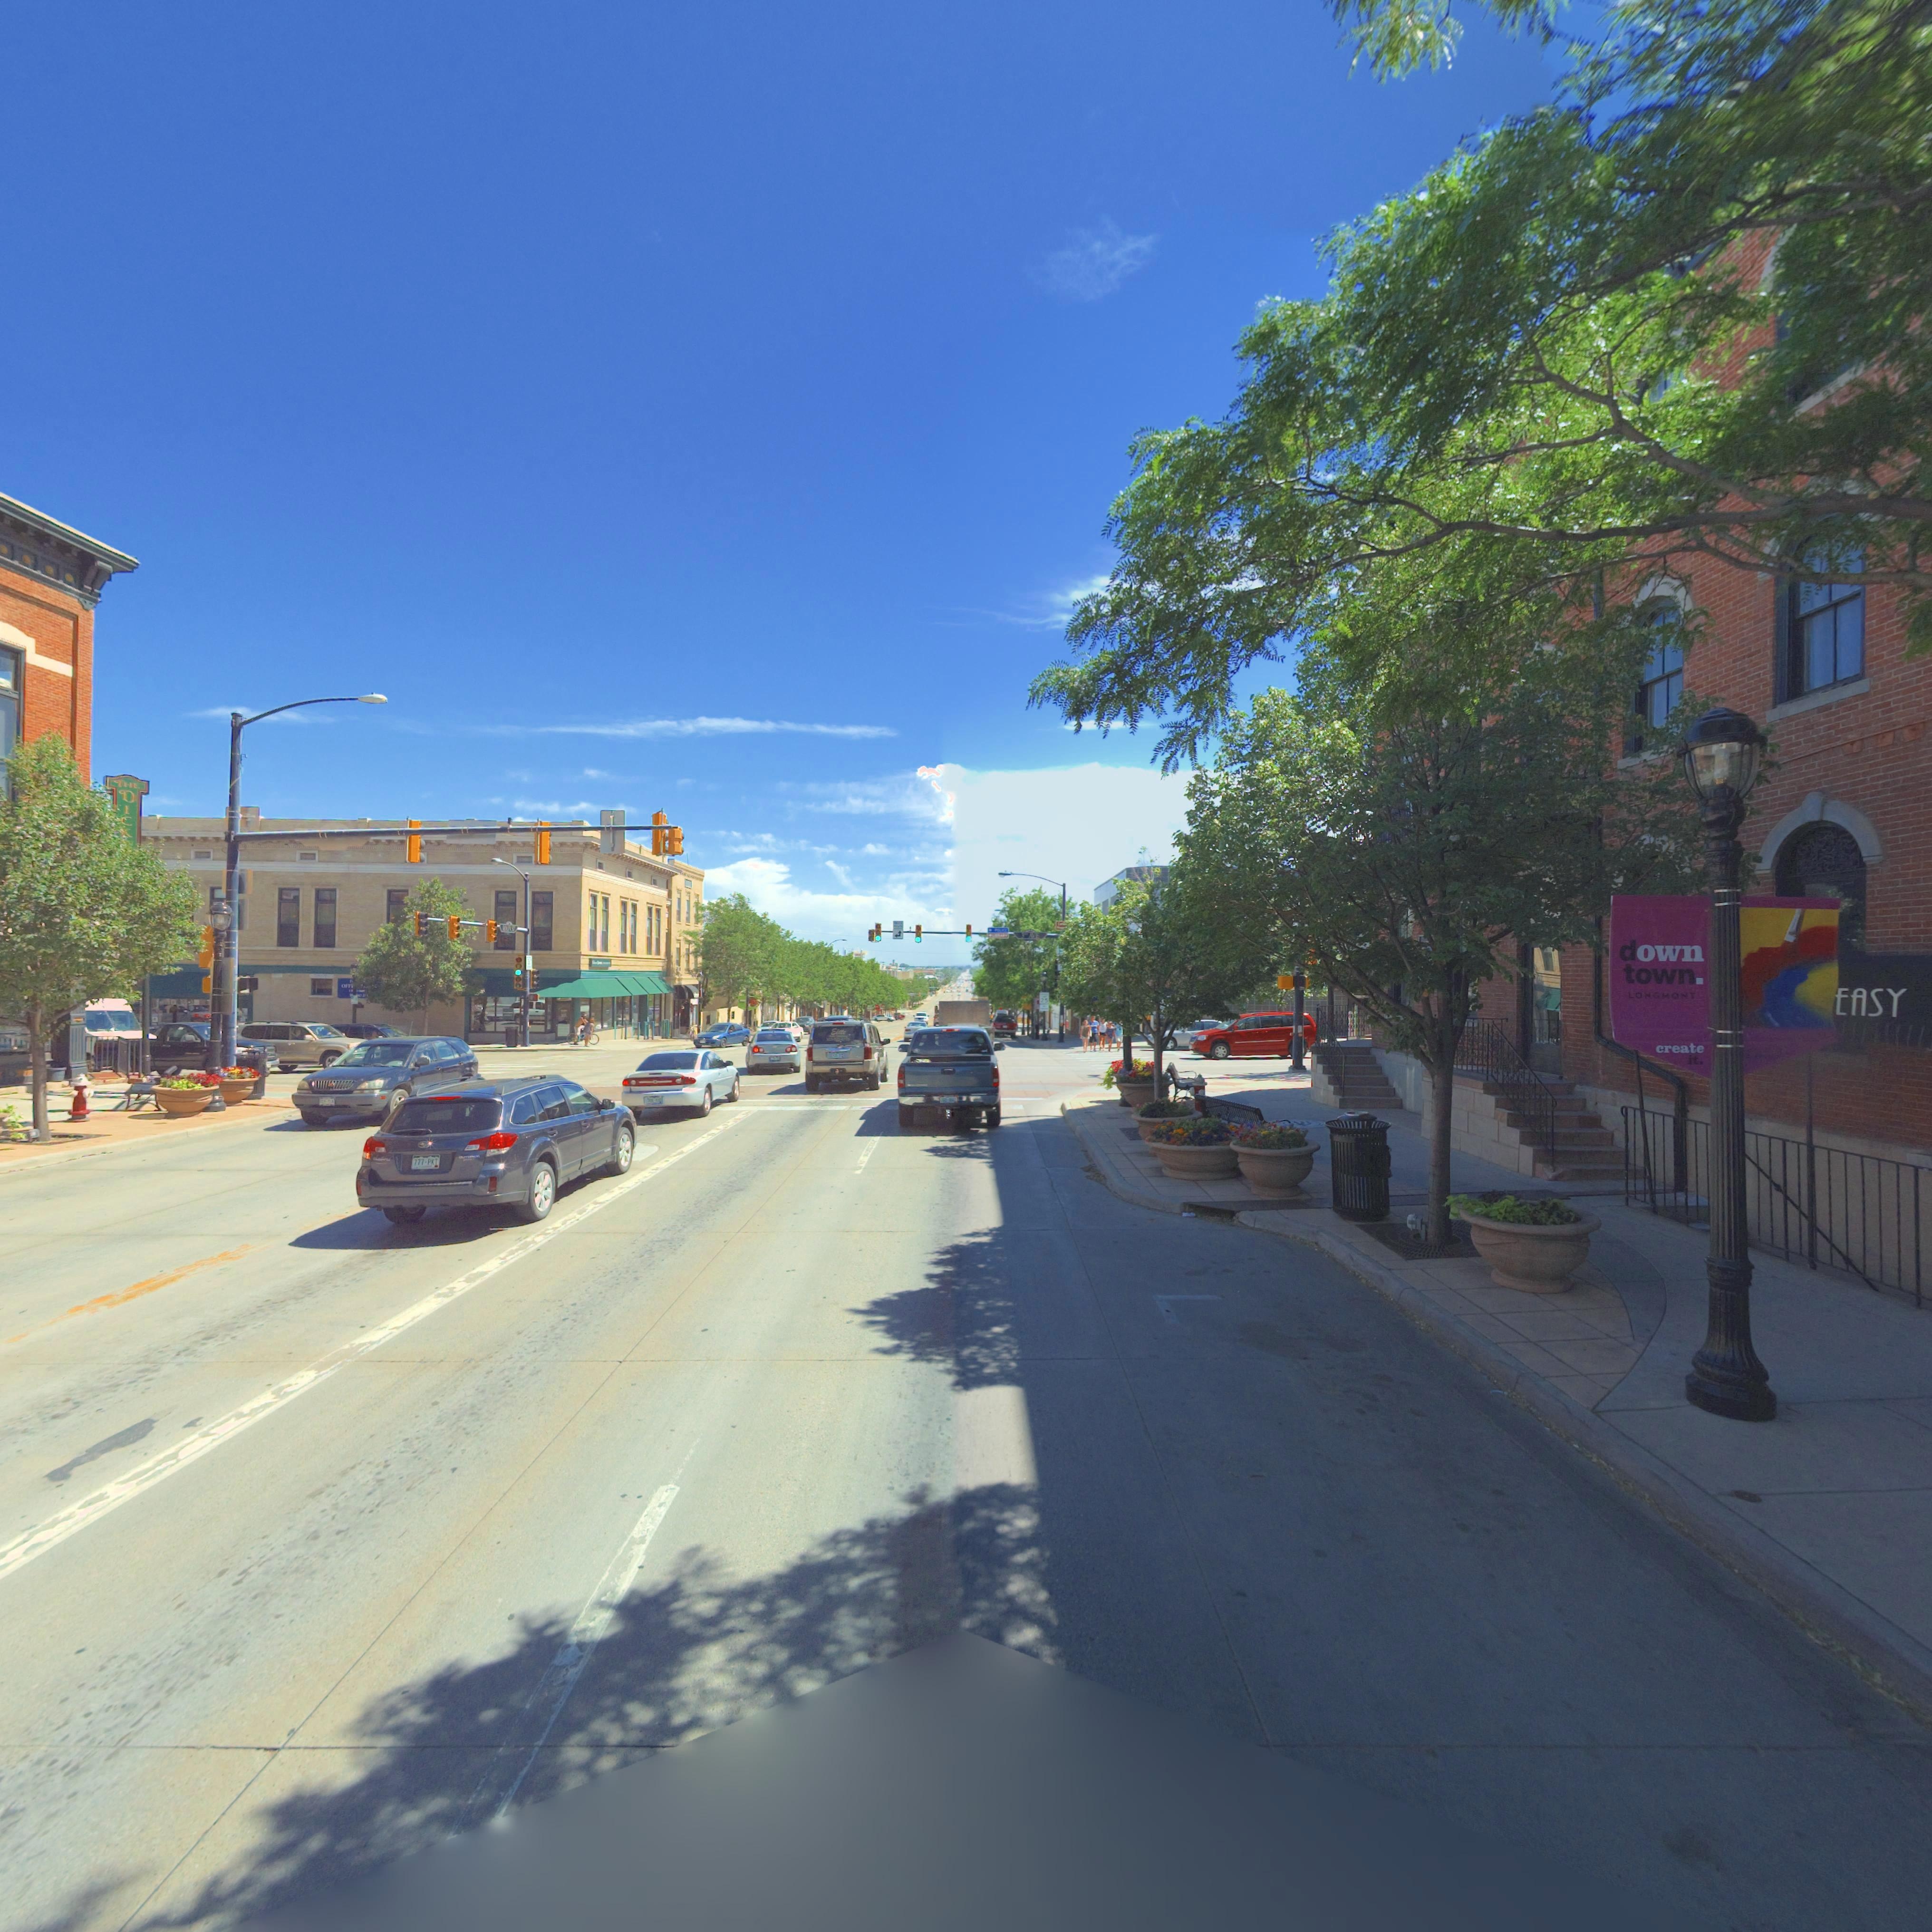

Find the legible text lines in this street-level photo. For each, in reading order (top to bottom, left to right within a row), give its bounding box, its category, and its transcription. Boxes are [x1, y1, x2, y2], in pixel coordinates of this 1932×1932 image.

[113, 778, 141, 789] BusinessName: THE
[117, 788, 135, 839] BusinessName: DICK
[502, 925, 516, 932] StreetName: MAIN ST
[1021, 932, 1040, 938] StreetName: 3* AVE